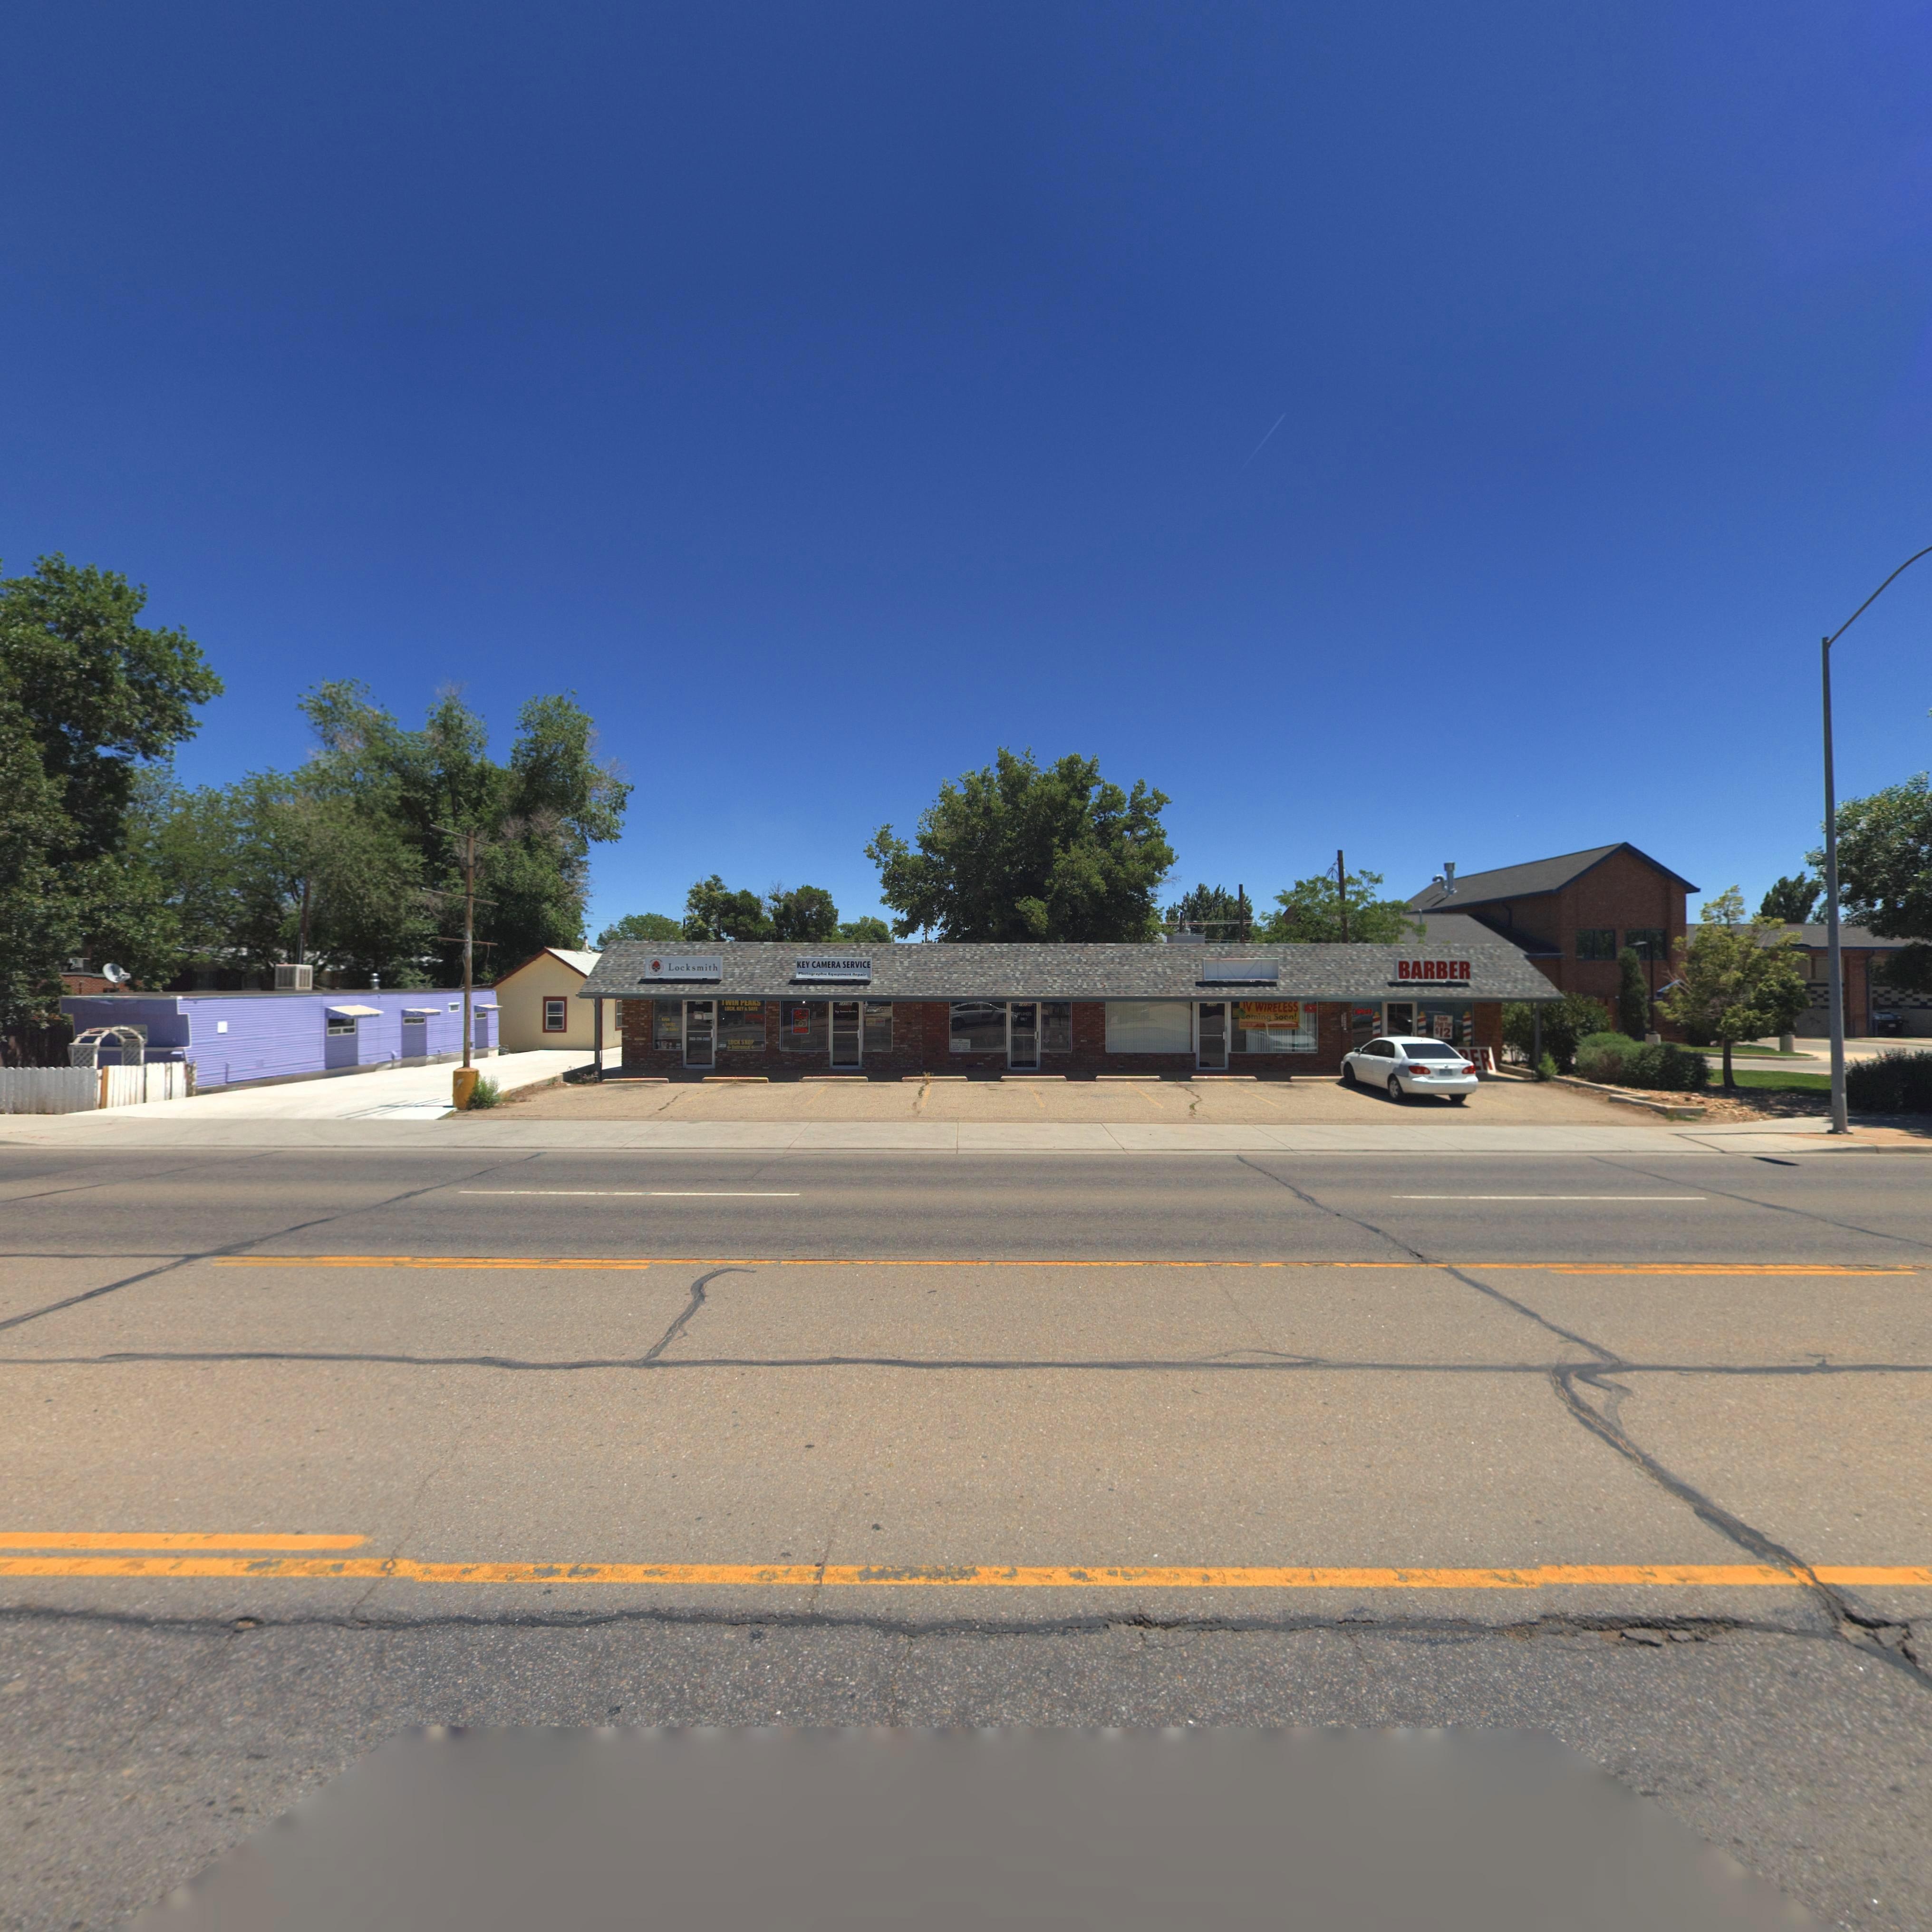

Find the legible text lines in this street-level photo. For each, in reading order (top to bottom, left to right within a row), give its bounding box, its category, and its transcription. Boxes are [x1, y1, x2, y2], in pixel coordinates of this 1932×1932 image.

[840, 1002, 851, 1005] StreetNumber: 14**
[1018, 1002, 1032, 1006] StreetNumber: *0**